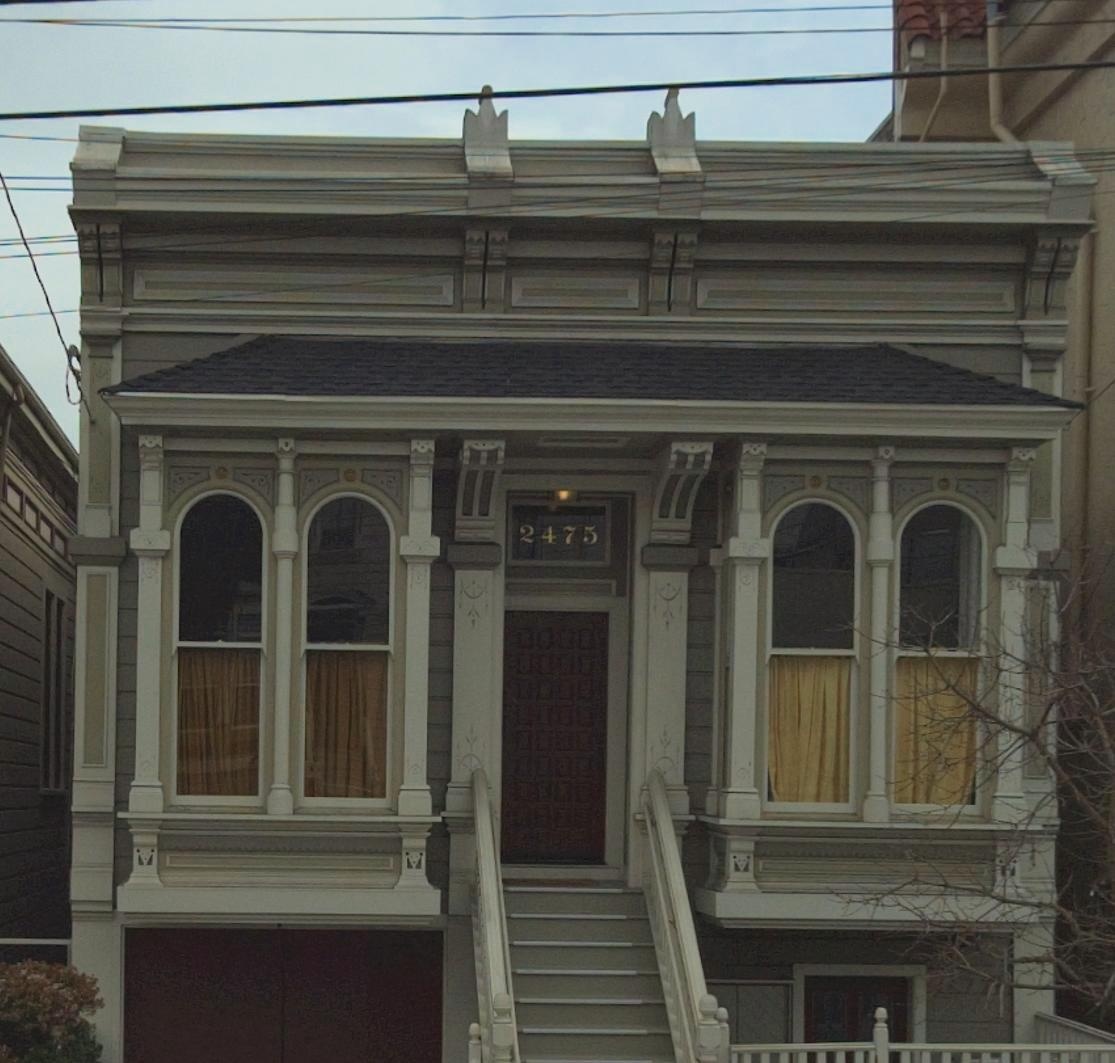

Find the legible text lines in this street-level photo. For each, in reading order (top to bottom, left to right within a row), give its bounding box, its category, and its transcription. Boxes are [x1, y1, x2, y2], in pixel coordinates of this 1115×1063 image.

[520, 523, 600, 545] StreetNumber: 2475